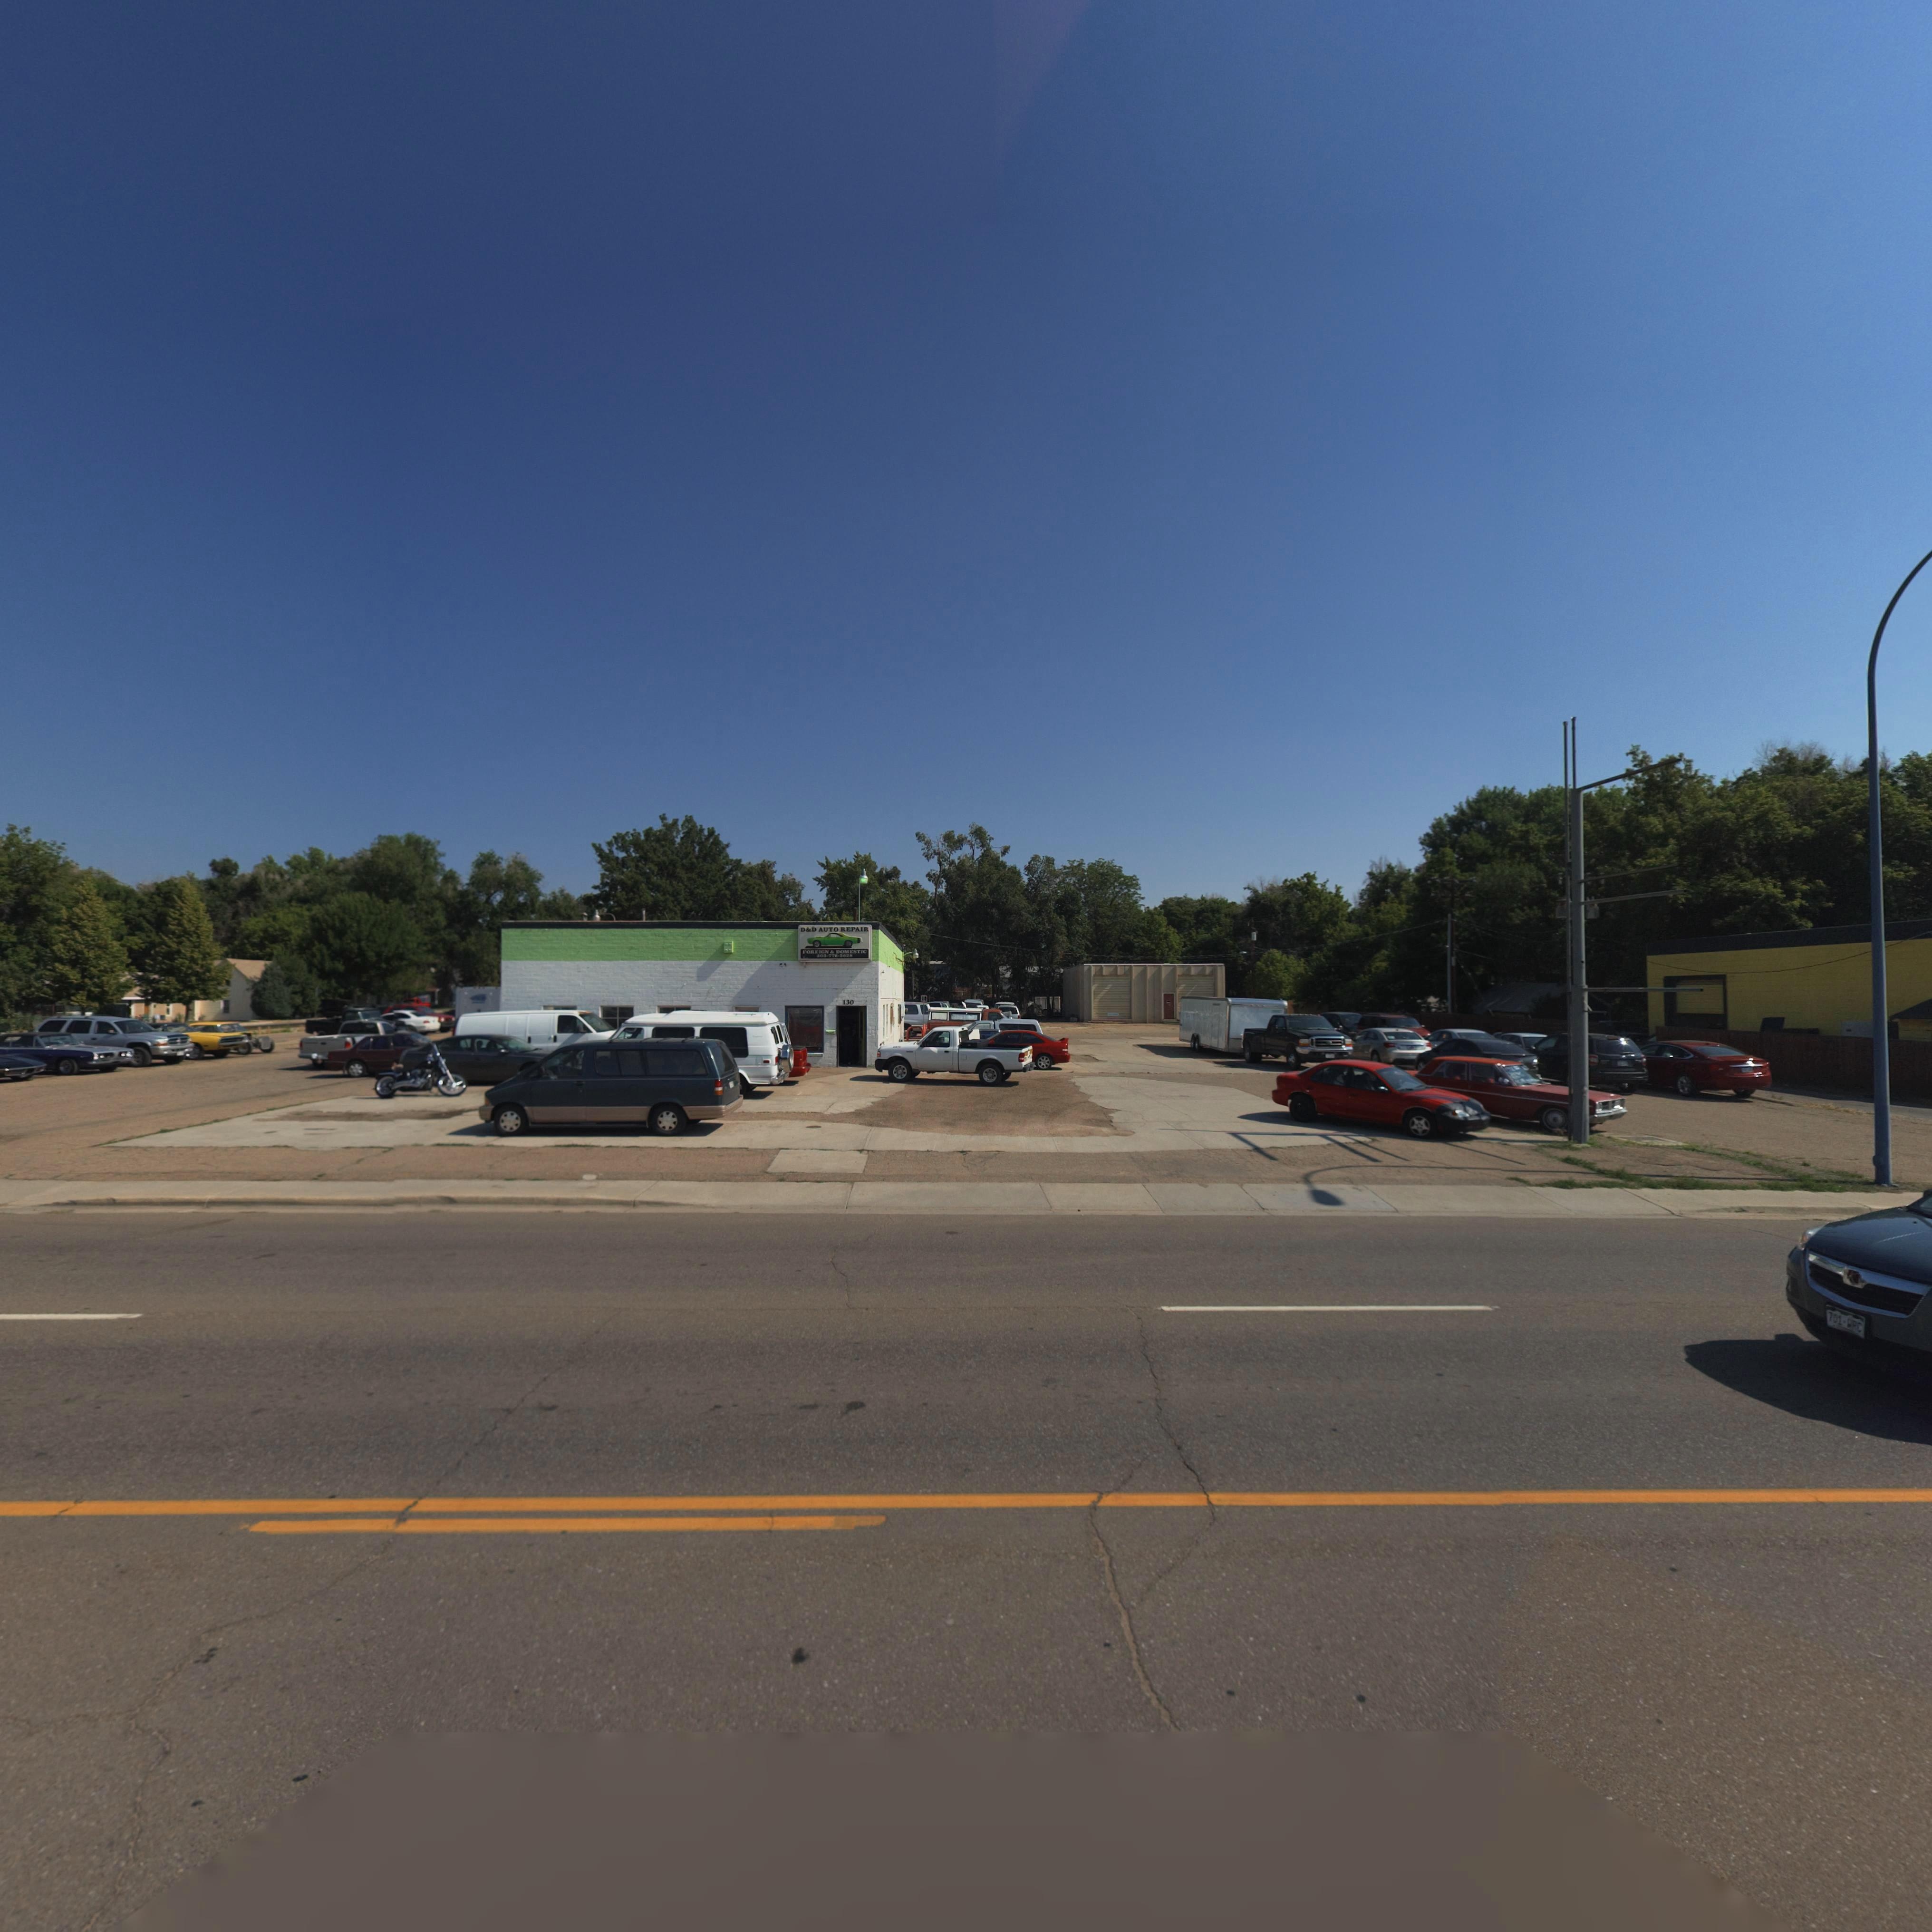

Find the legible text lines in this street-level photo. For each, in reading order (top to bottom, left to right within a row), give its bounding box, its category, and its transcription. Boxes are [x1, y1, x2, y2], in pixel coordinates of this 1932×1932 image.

[800, 926, 869, 932] BusinessName: D&D AUTO REPAIR
[842, 999, 854, 1005] StreetNumber: 130